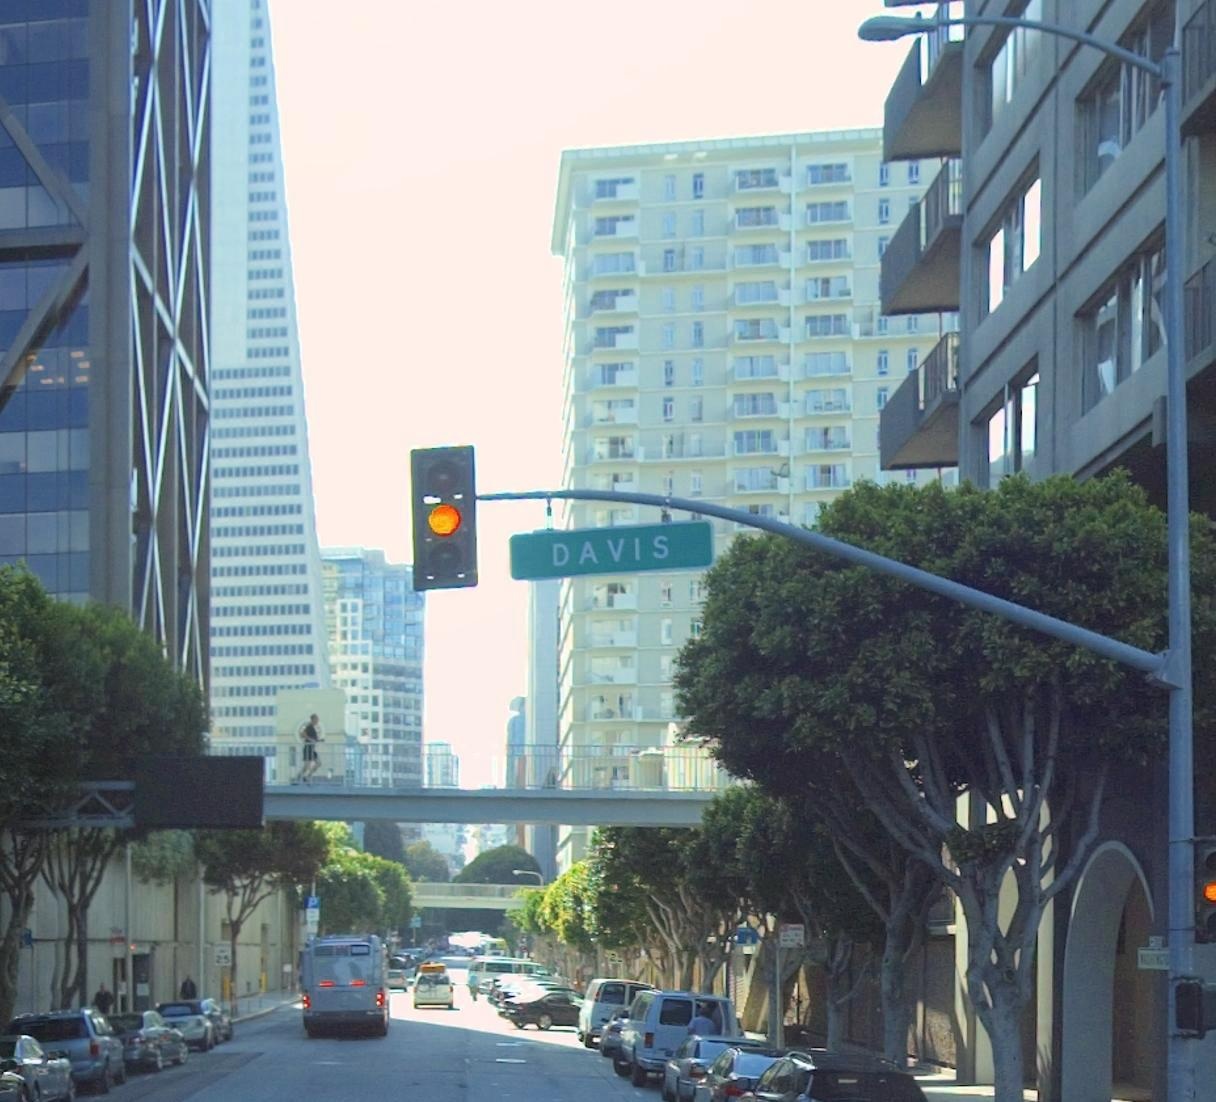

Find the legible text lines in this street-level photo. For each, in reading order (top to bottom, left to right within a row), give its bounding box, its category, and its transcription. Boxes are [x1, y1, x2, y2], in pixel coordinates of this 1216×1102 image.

[549, 533, 673, 571] StreetName: DAVIS